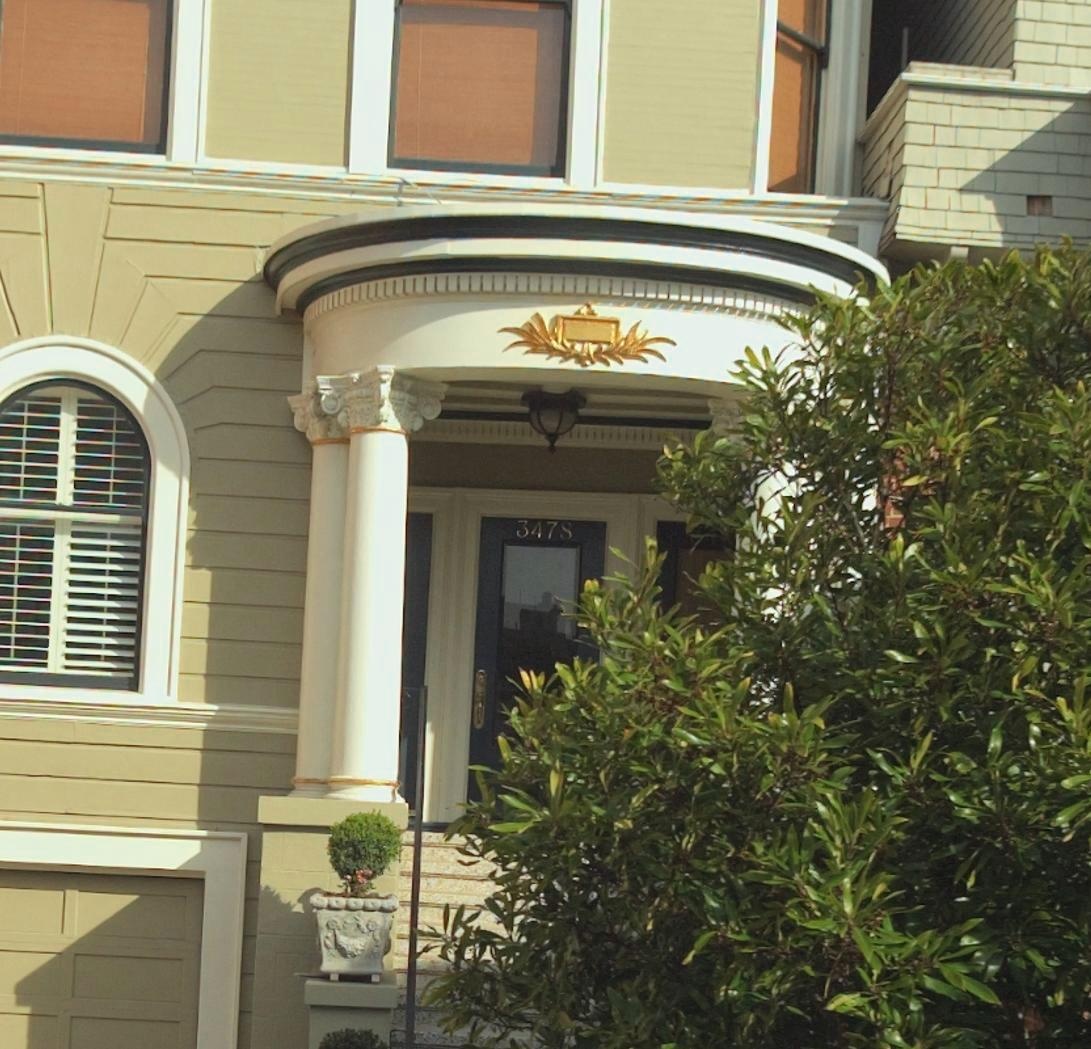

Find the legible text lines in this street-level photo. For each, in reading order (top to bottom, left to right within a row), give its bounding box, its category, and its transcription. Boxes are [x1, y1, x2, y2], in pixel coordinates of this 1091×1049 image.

[513, 517, 575, 543] StreetNumber: 3478